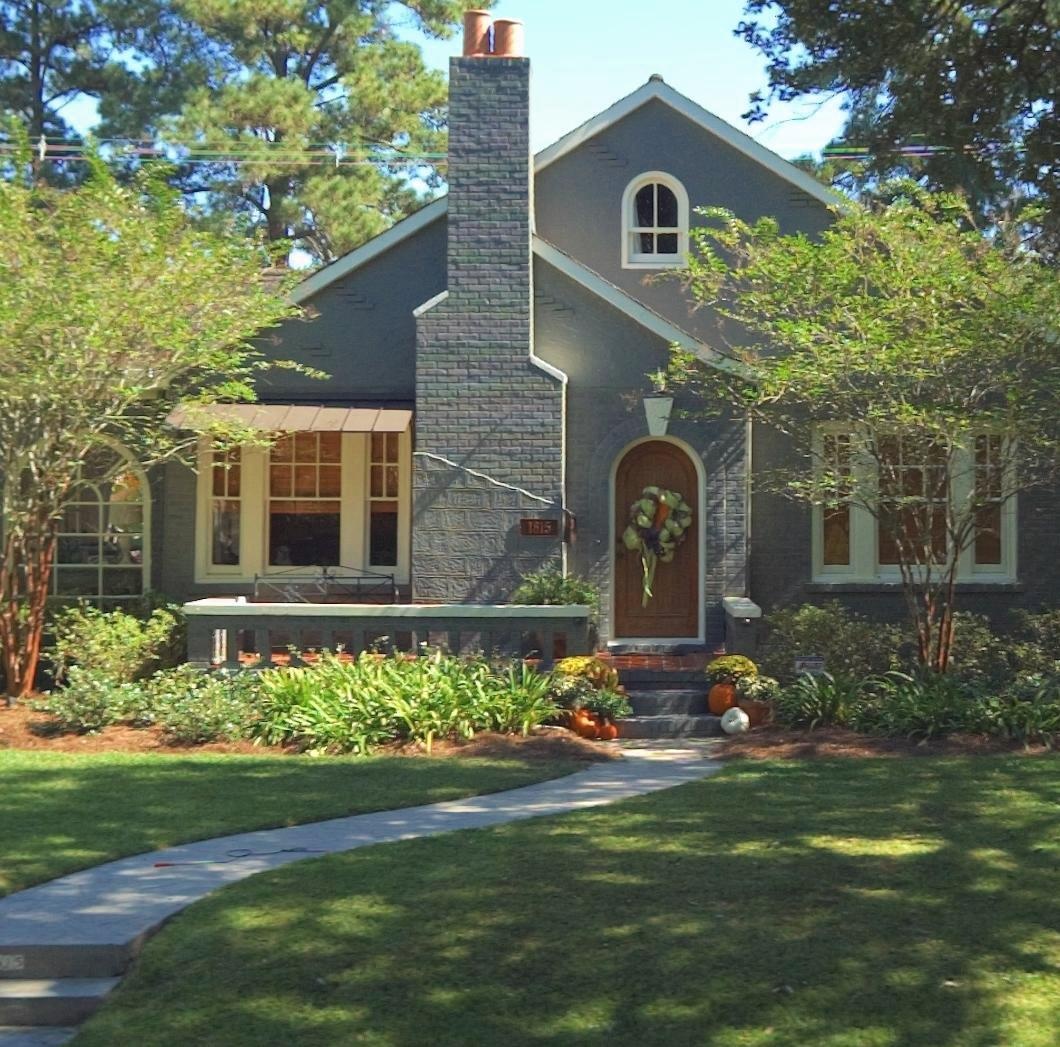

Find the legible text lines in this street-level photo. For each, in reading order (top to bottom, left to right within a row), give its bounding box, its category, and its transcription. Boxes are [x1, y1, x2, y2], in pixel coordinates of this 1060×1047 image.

[526, 520, 553, 536] StreetNumber: 1815